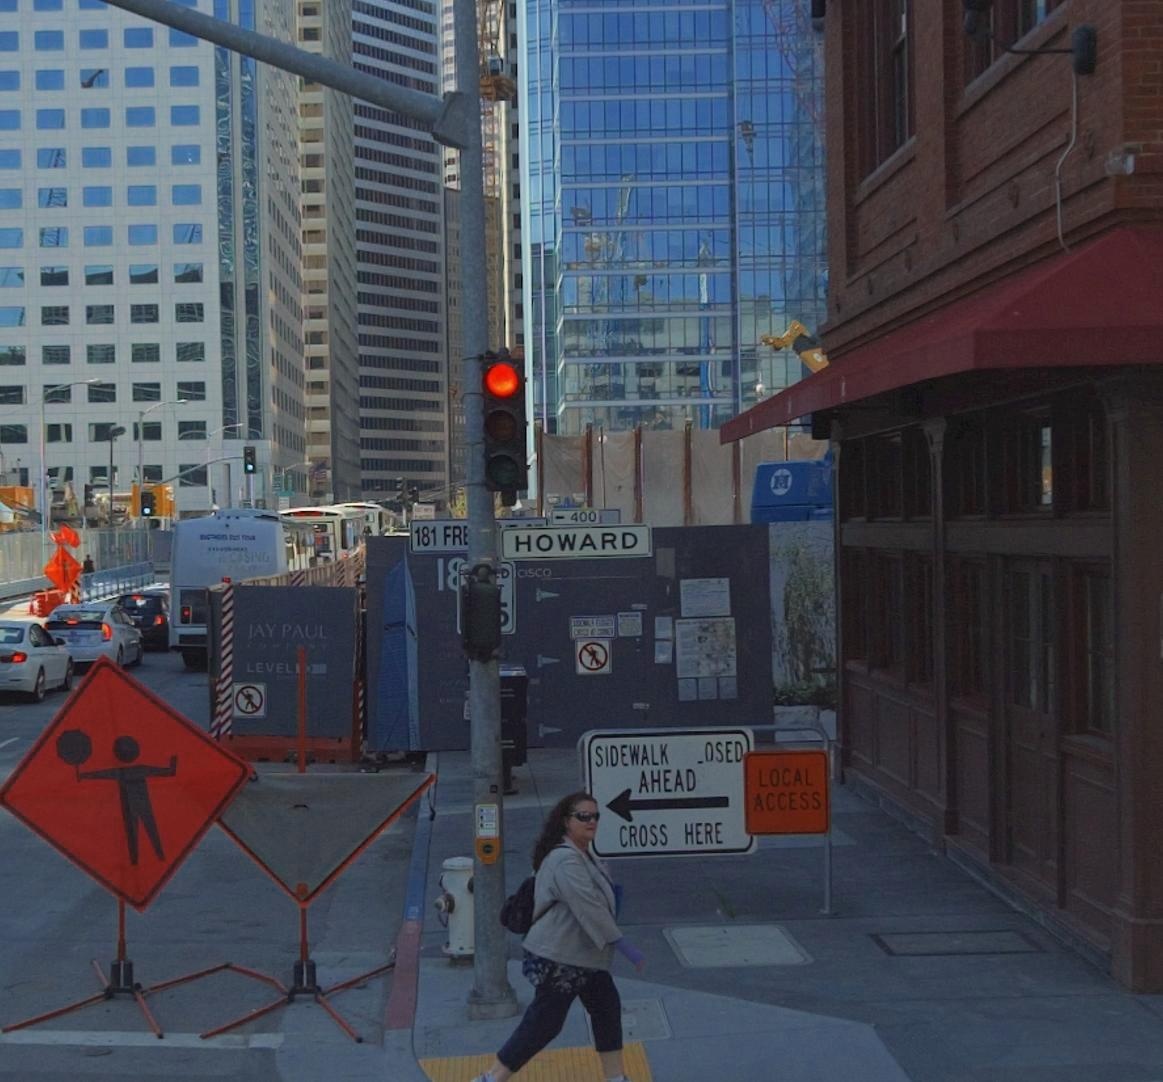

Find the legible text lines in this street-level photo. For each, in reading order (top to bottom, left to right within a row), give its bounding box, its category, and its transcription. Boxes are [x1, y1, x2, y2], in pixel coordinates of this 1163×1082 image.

[551, 509, 599, 524] StreetNumberRange: <-400
[411, 523, 440, 549] StreetNumber: 181
[442, 523, 464, 547] StreetName: FR
[513, 529, 641, 555] StreetName: HOWARD
[242, 548, 272, 565] None: SI**
[515, 565, 555, 581] None: CISCO
[245, 620, 331, 642] None: JAY PAUL
[244, 659, 297, 676] None: LEVEL
[592, 737, 746, 772] None: SIDEWALK *OSED
[635, 765, 700, 797] None: AHEAD
[755, 765, 815, 790] None: LOCAL
[750, 788, 824, 815] None: ACCESS
[617, 818, 726, 851] None: CROSS HERE